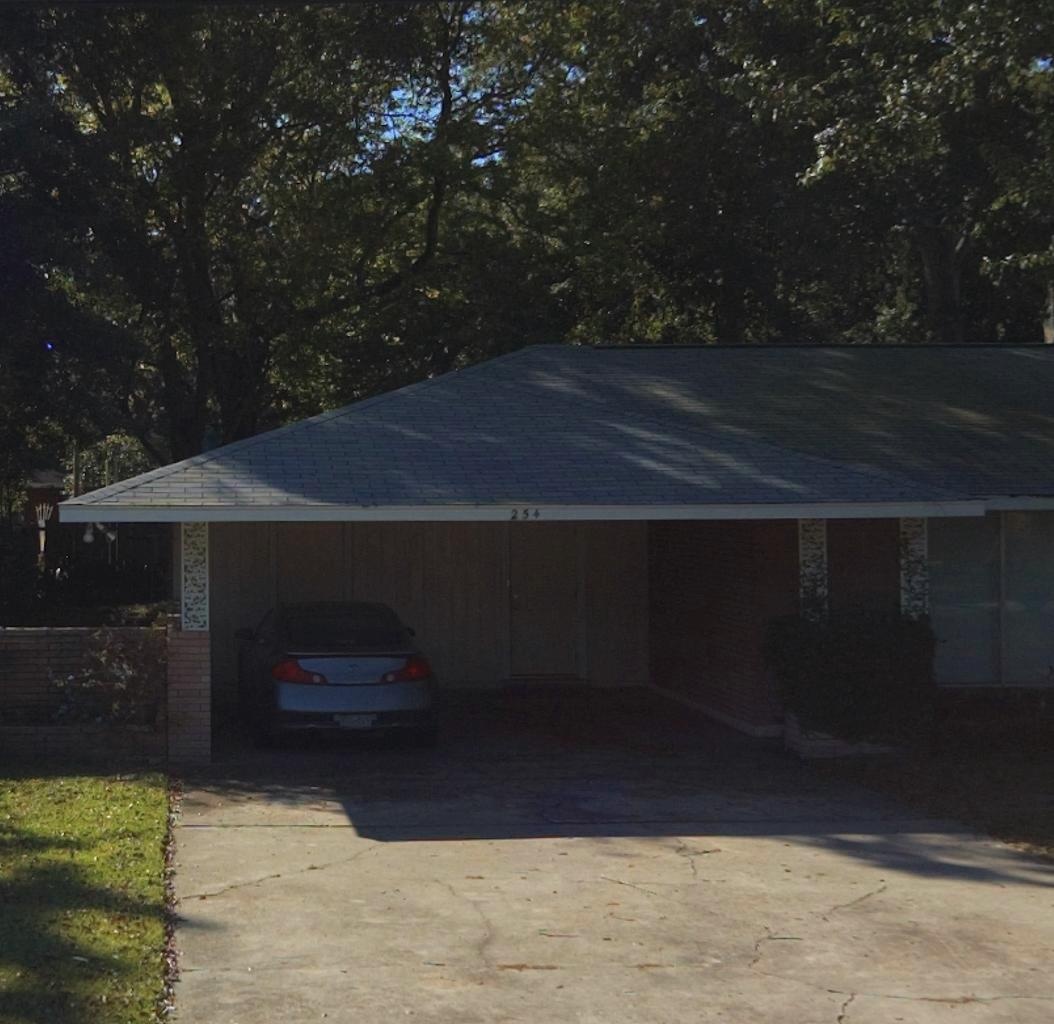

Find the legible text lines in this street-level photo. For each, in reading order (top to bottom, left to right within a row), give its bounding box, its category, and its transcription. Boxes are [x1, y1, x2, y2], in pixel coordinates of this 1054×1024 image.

[510, 507, 541, 520] StreetNumber: 254